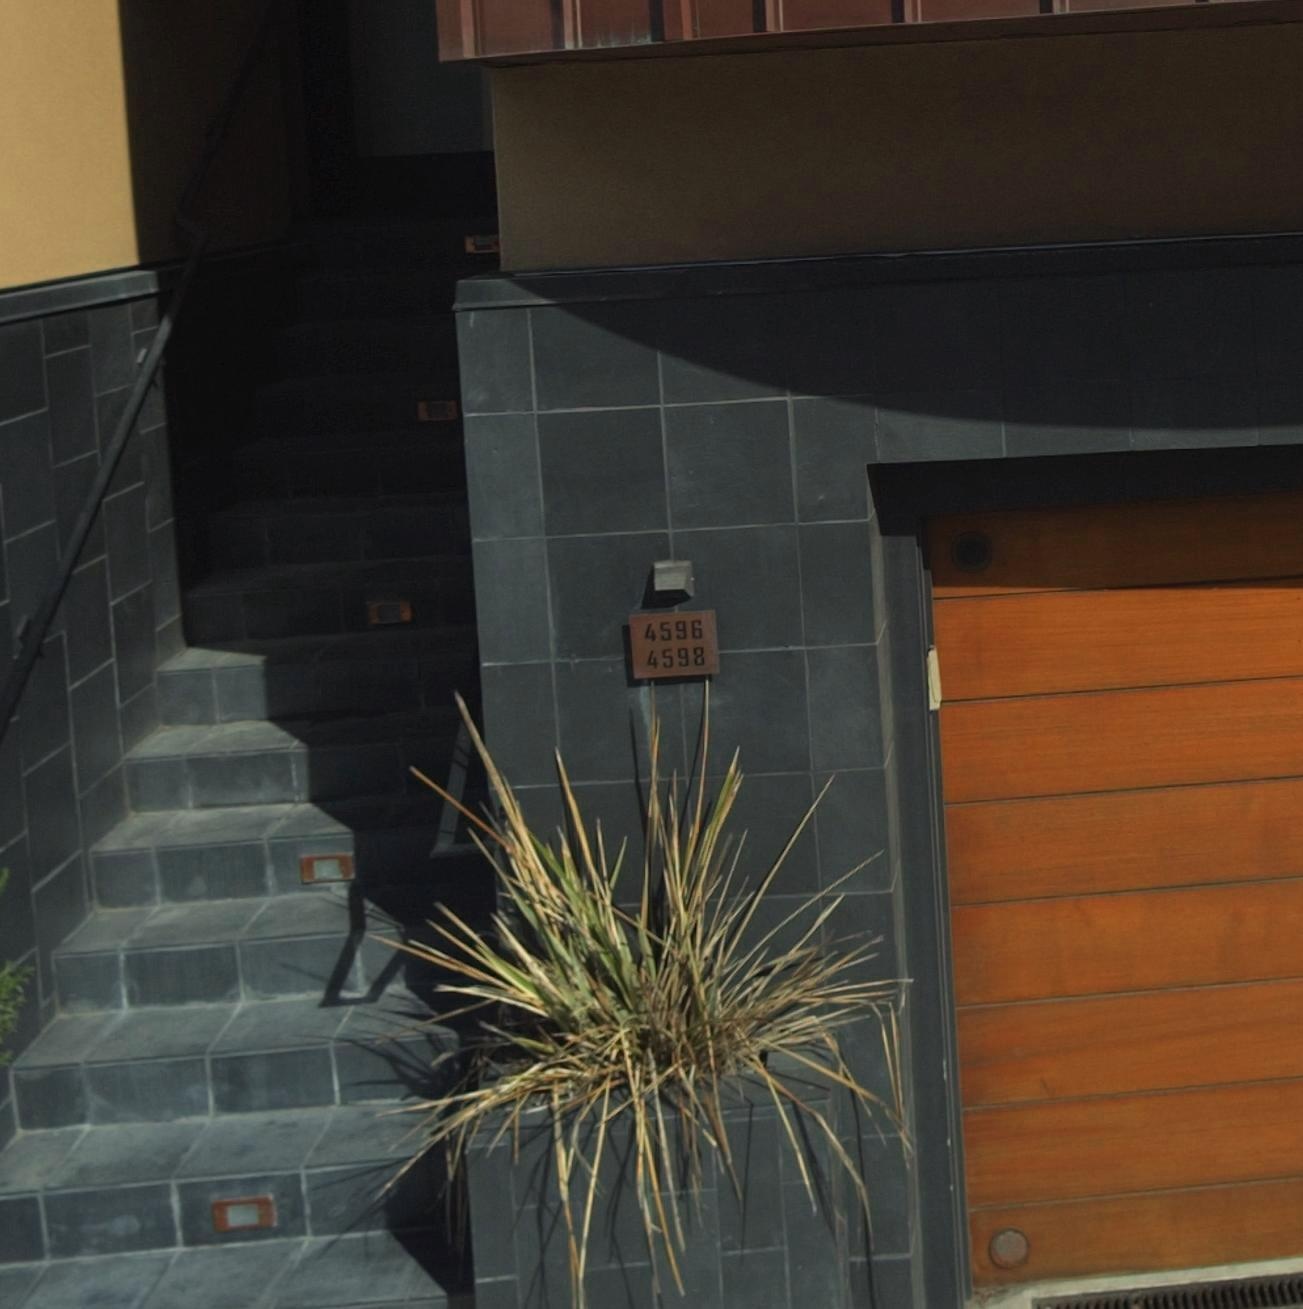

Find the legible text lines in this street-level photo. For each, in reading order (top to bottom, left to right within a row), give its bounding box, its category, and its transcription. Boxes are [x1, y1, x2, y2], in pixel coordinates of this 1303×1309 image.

[642, 618, 704, 645] StreetNumber: 4596
[646, 645, 706, 670] StreetNumber: 4598